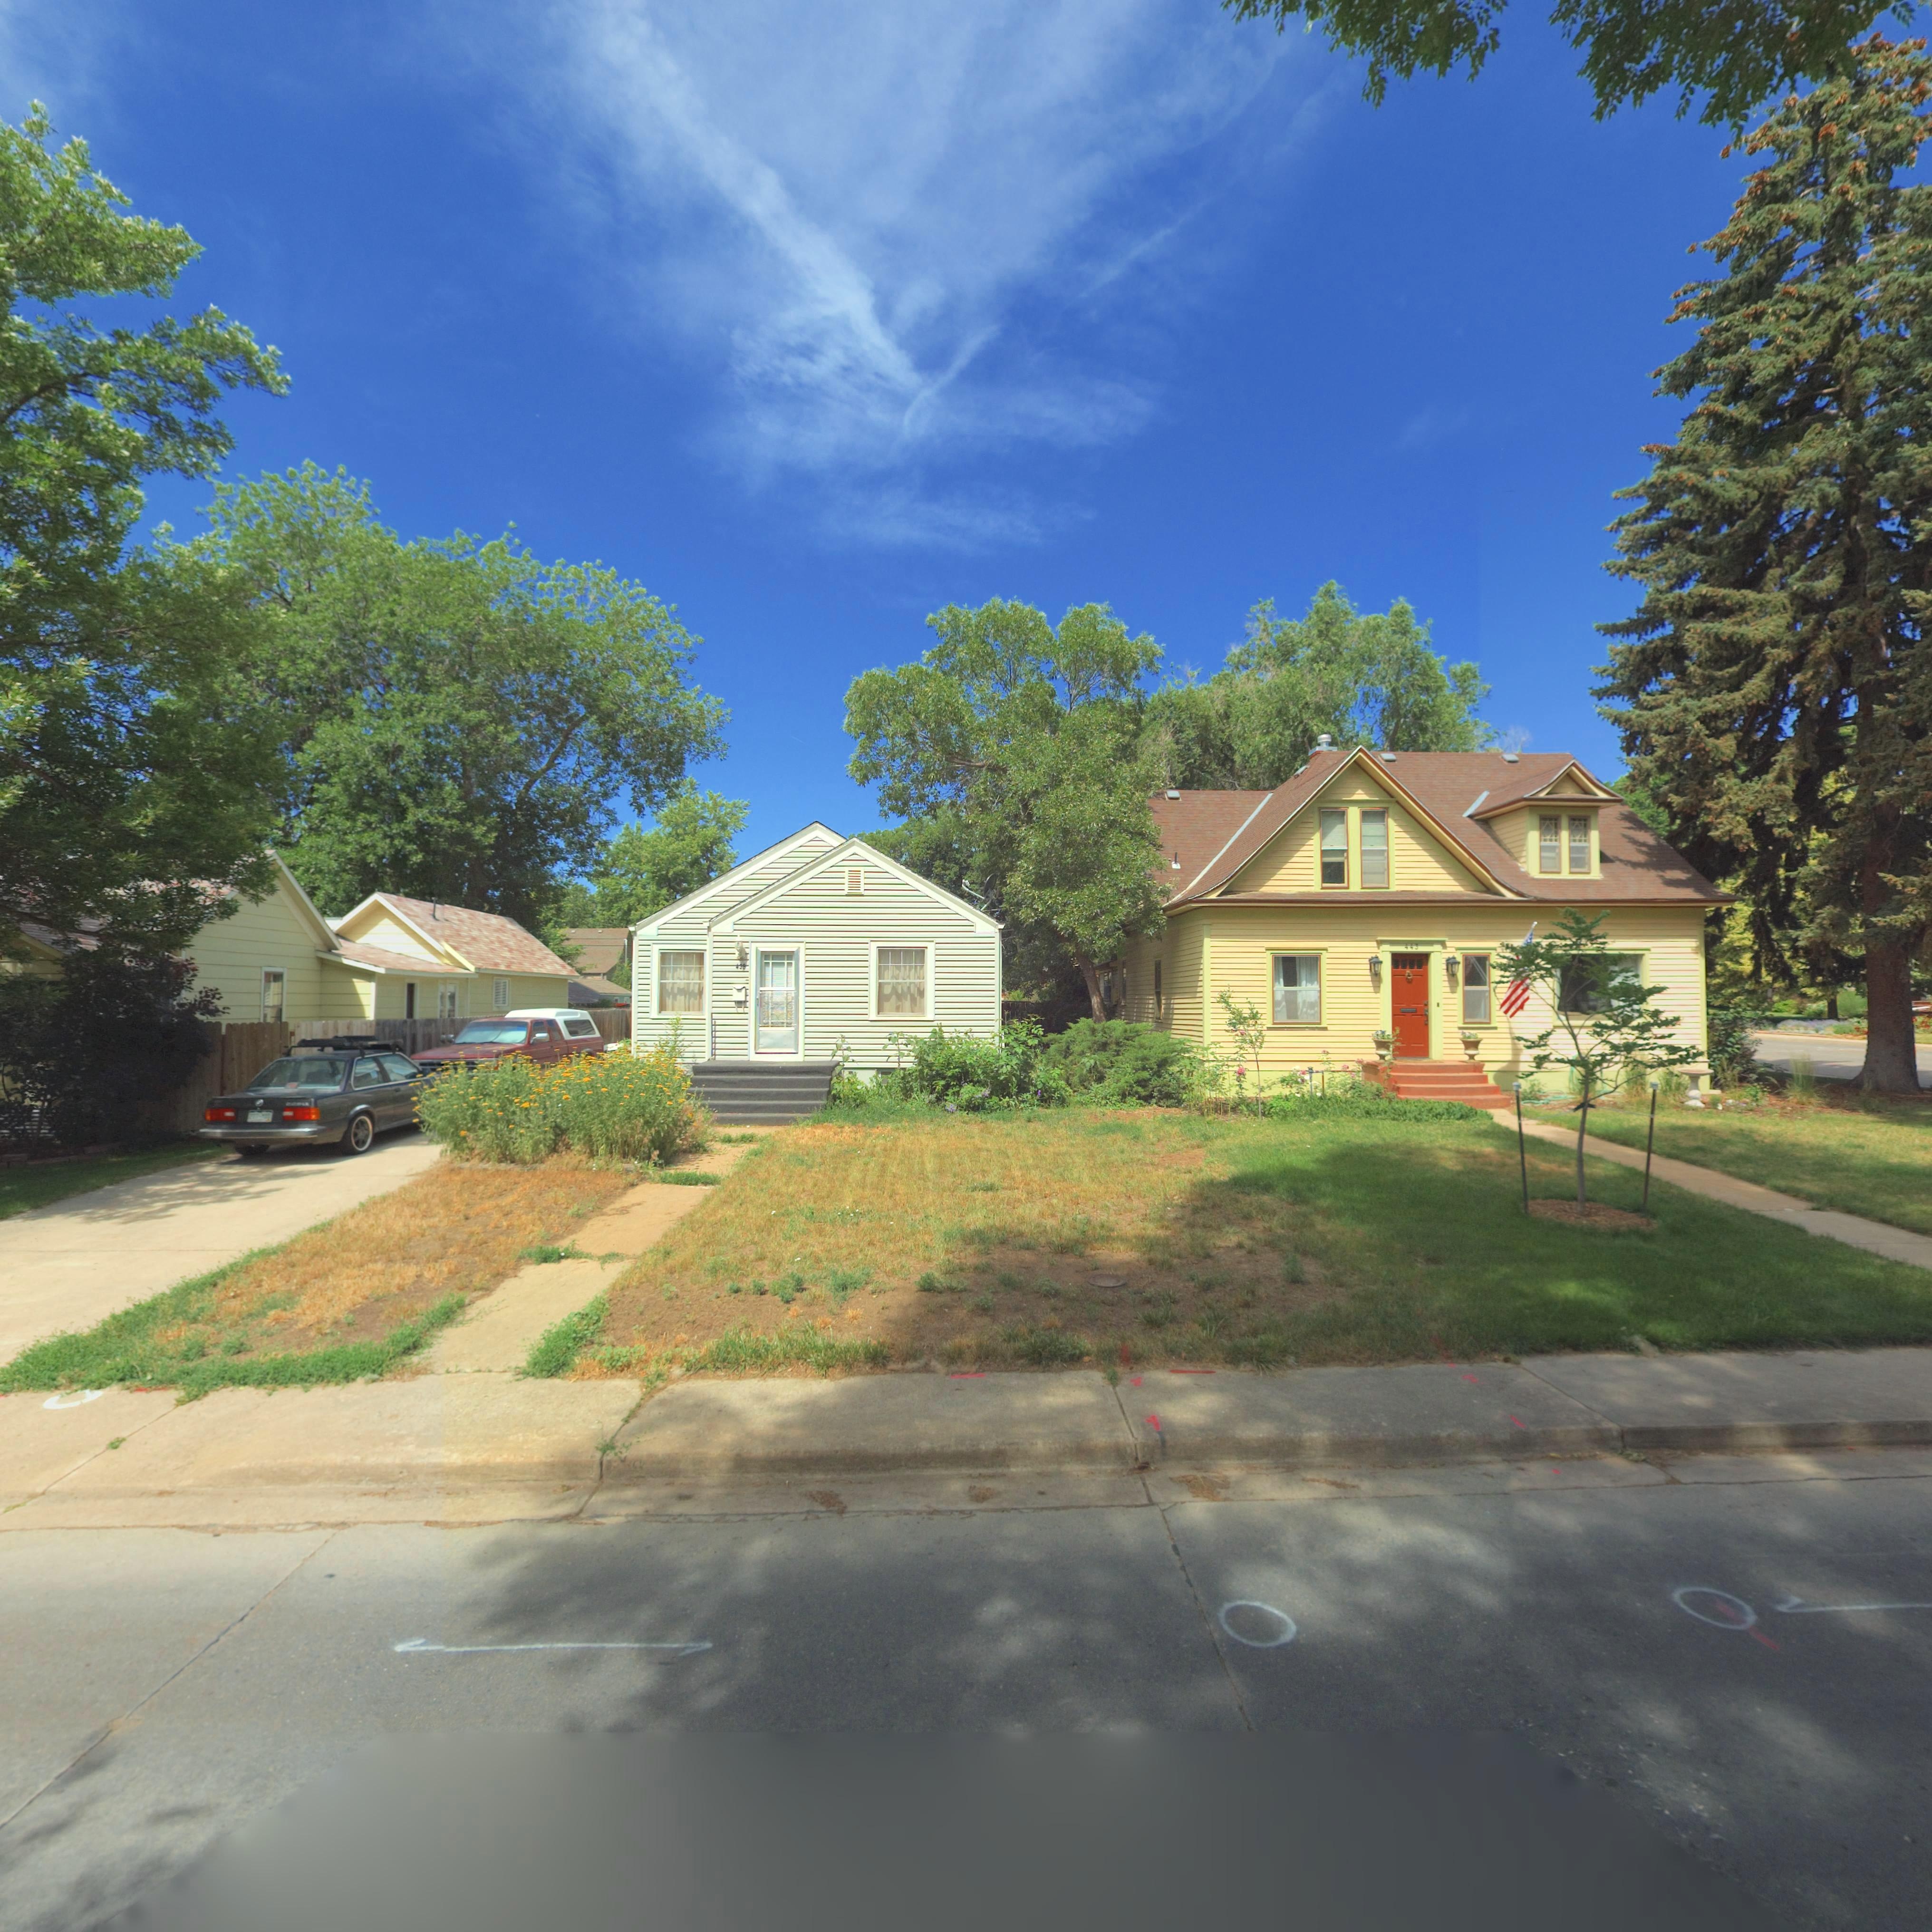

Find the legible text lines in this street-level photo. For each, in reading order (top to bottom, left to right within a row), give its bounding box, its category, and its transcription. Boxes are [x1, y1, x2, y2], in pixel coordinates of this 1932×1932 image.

[1404, 943, 1419, 949] StreetNumber: 443
[735, 963, 745, 969] StreetNumber: 4**